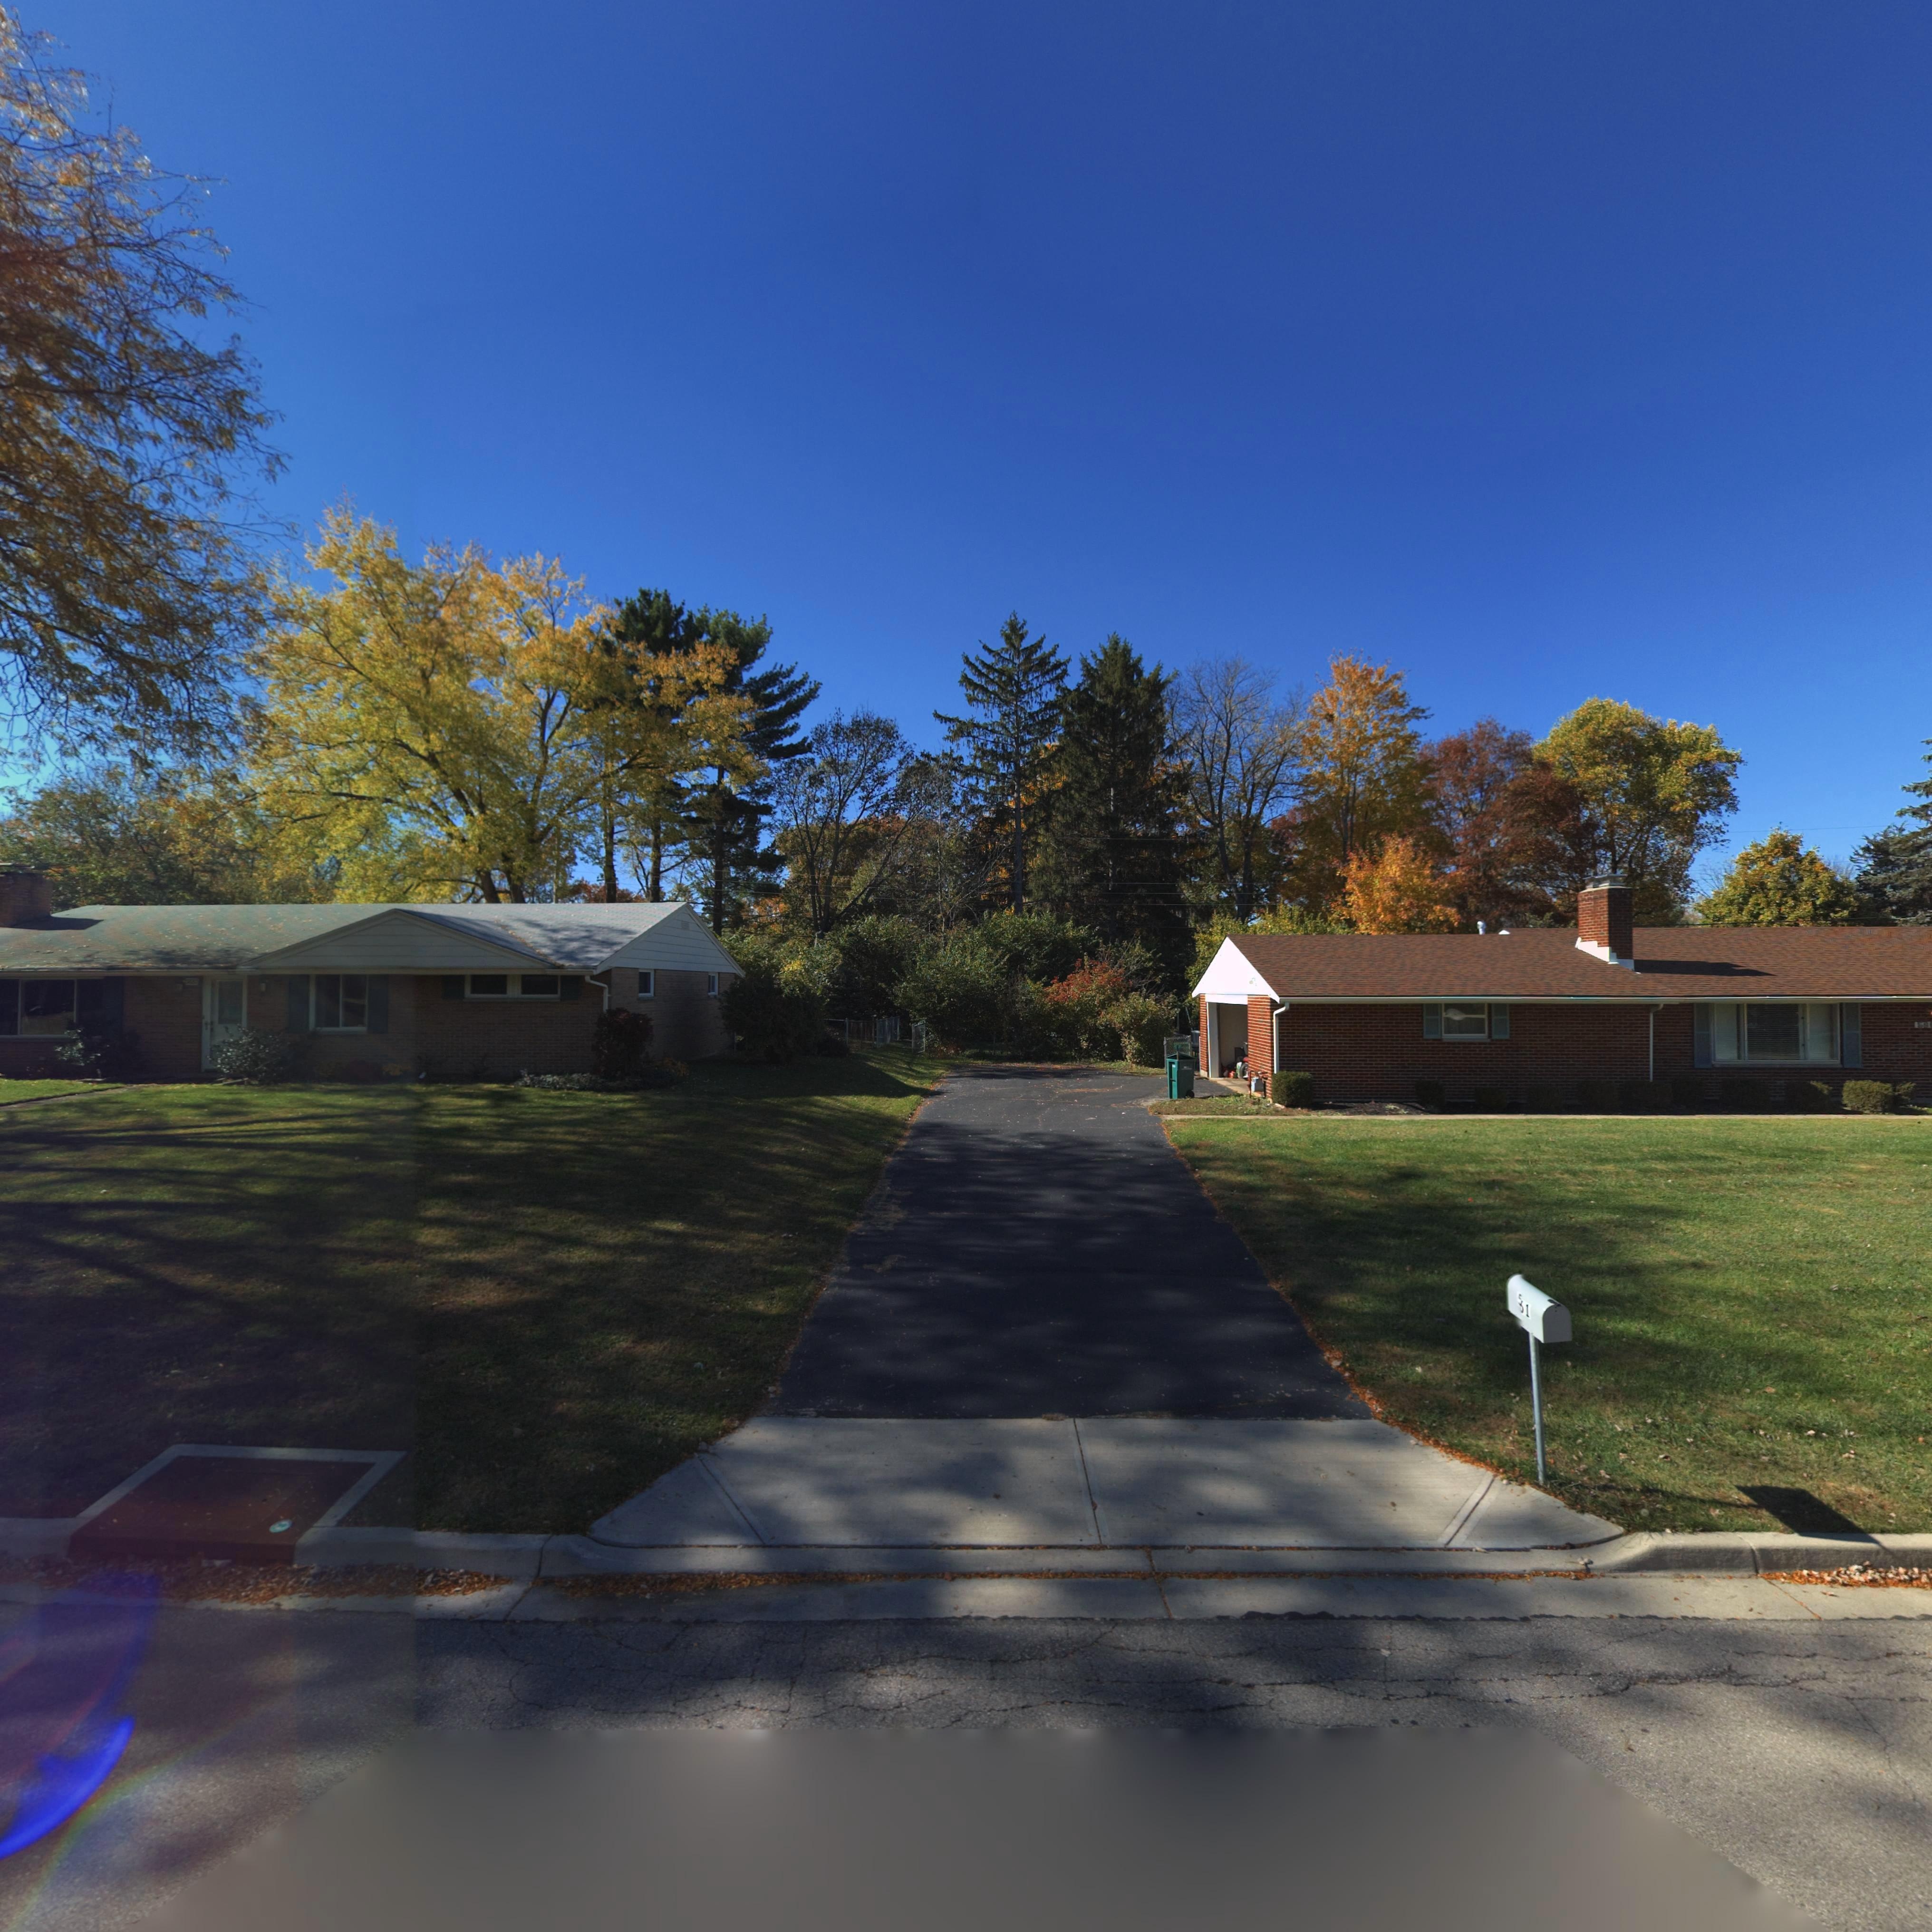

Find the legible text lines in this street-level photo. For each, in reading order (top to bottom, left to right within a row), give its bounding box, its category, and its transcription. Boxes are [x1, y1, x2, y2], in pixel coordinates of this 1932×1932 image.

[184, 978, 198, 984] StreetNumber: 588*
[1917, 1021, 1930, 1029] StreetNumber: 5*
[1517, 1293, 1529, 1318] StreetNumber: 5*1